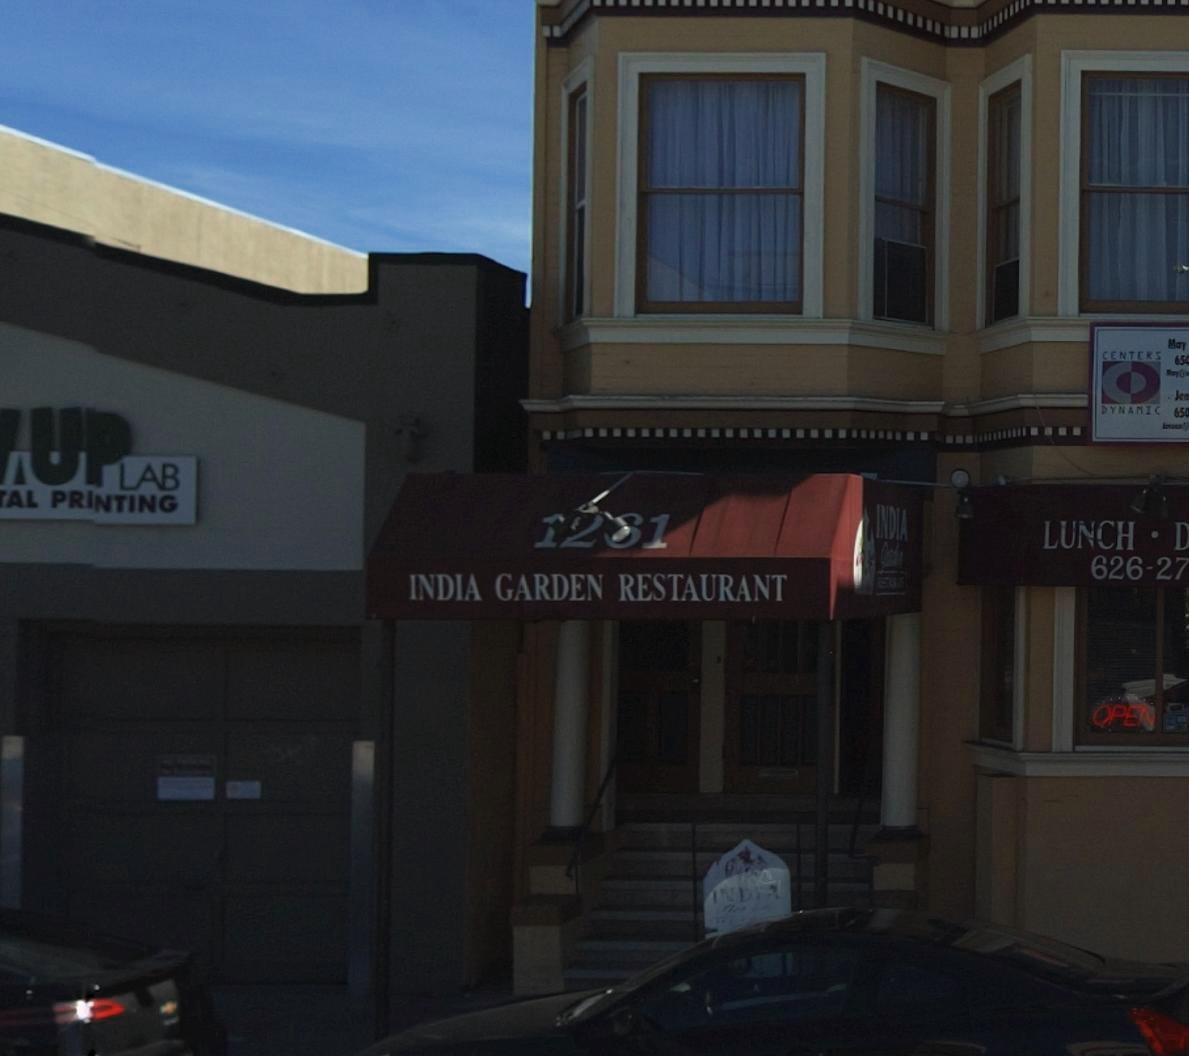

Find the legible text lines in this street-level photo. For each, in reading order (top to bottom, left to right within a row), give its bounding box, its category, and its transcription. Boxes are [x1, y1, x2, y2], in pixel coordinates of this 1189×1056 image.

[1098, 348, 1164, 363] None: CENTERS
[1166, 335, 1188, 355] None: May
[1172, 352, 1187, 367] None: 65
[1172, 385, 1187, 403] None: Je
[1099, 403, 1164, 417] None: DYNAMIC
[1172, 406, 1187, 420] None: 65
[25, 400, 189, 496] BusinessName: UP LAB
[0, 485, 185, 516] None: AL PRINTING
[527, 509, 674, 552] StreetNumber: 1261
[870, 500, 914, 547] BusinessName: INDIA
[1040, 516, 1139, 554] None: LUNCH
[1086, 551, 1189, 583] None: 626-27
[404, 568, 794, 606] BusinessName: INDIA GARDEN RESTAURANT
[1089, 700, 1144, 732] None: OPE
[708, 883, 756, 907] None: IND